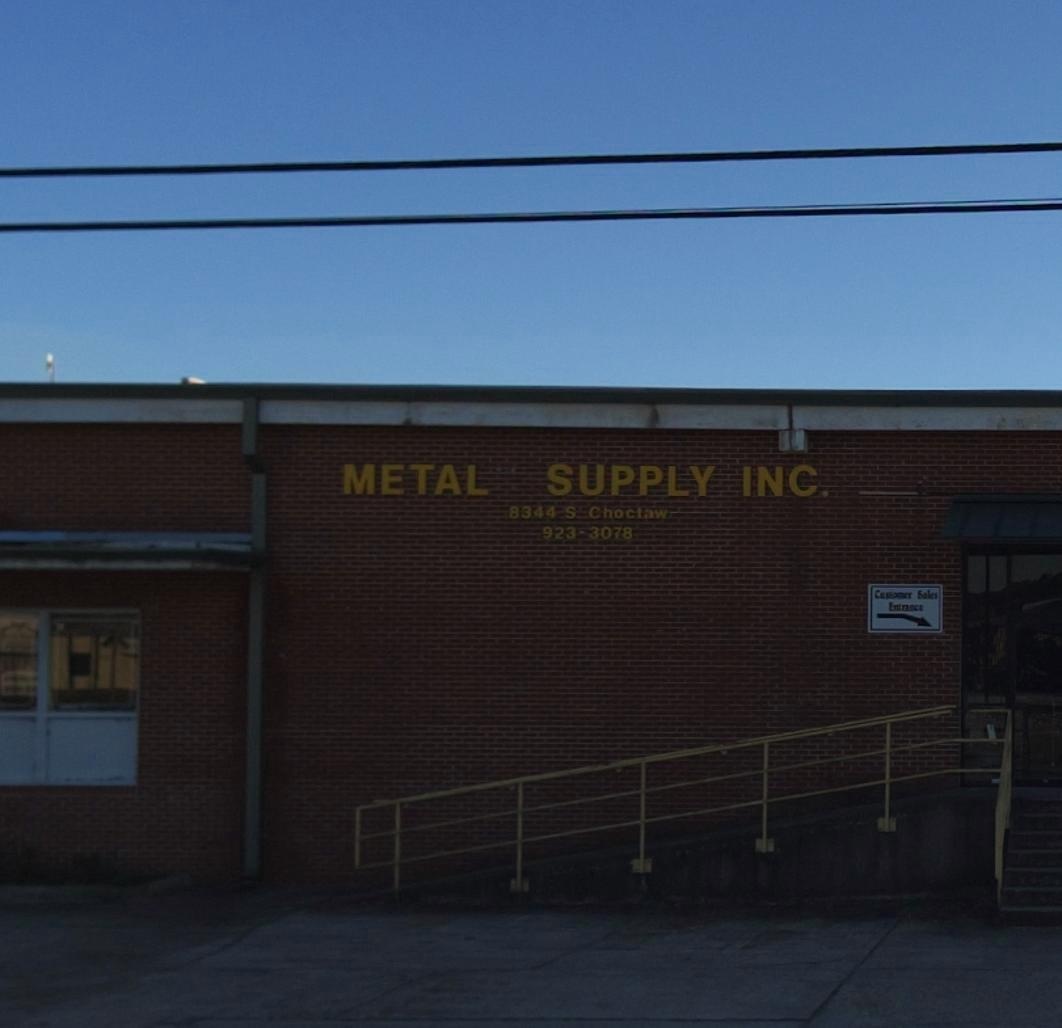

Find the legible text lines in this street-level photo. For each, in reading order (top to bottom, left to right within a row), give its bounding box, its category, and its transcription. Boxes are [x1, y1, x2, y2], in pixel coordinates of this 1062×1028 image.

[342, 462, 820, 498] BusinessName: METAL SUPPLY INC
[508, 504, 557, 519] StreetNumber: 8344
[564, 504, 670, 520] StreetName: S. Choctaw
[541, 524, 634, 541] None: 923-3078
[873, 587, 940, 601] None: Customer Sales
[887, 600, 925, 612] None: Entrance